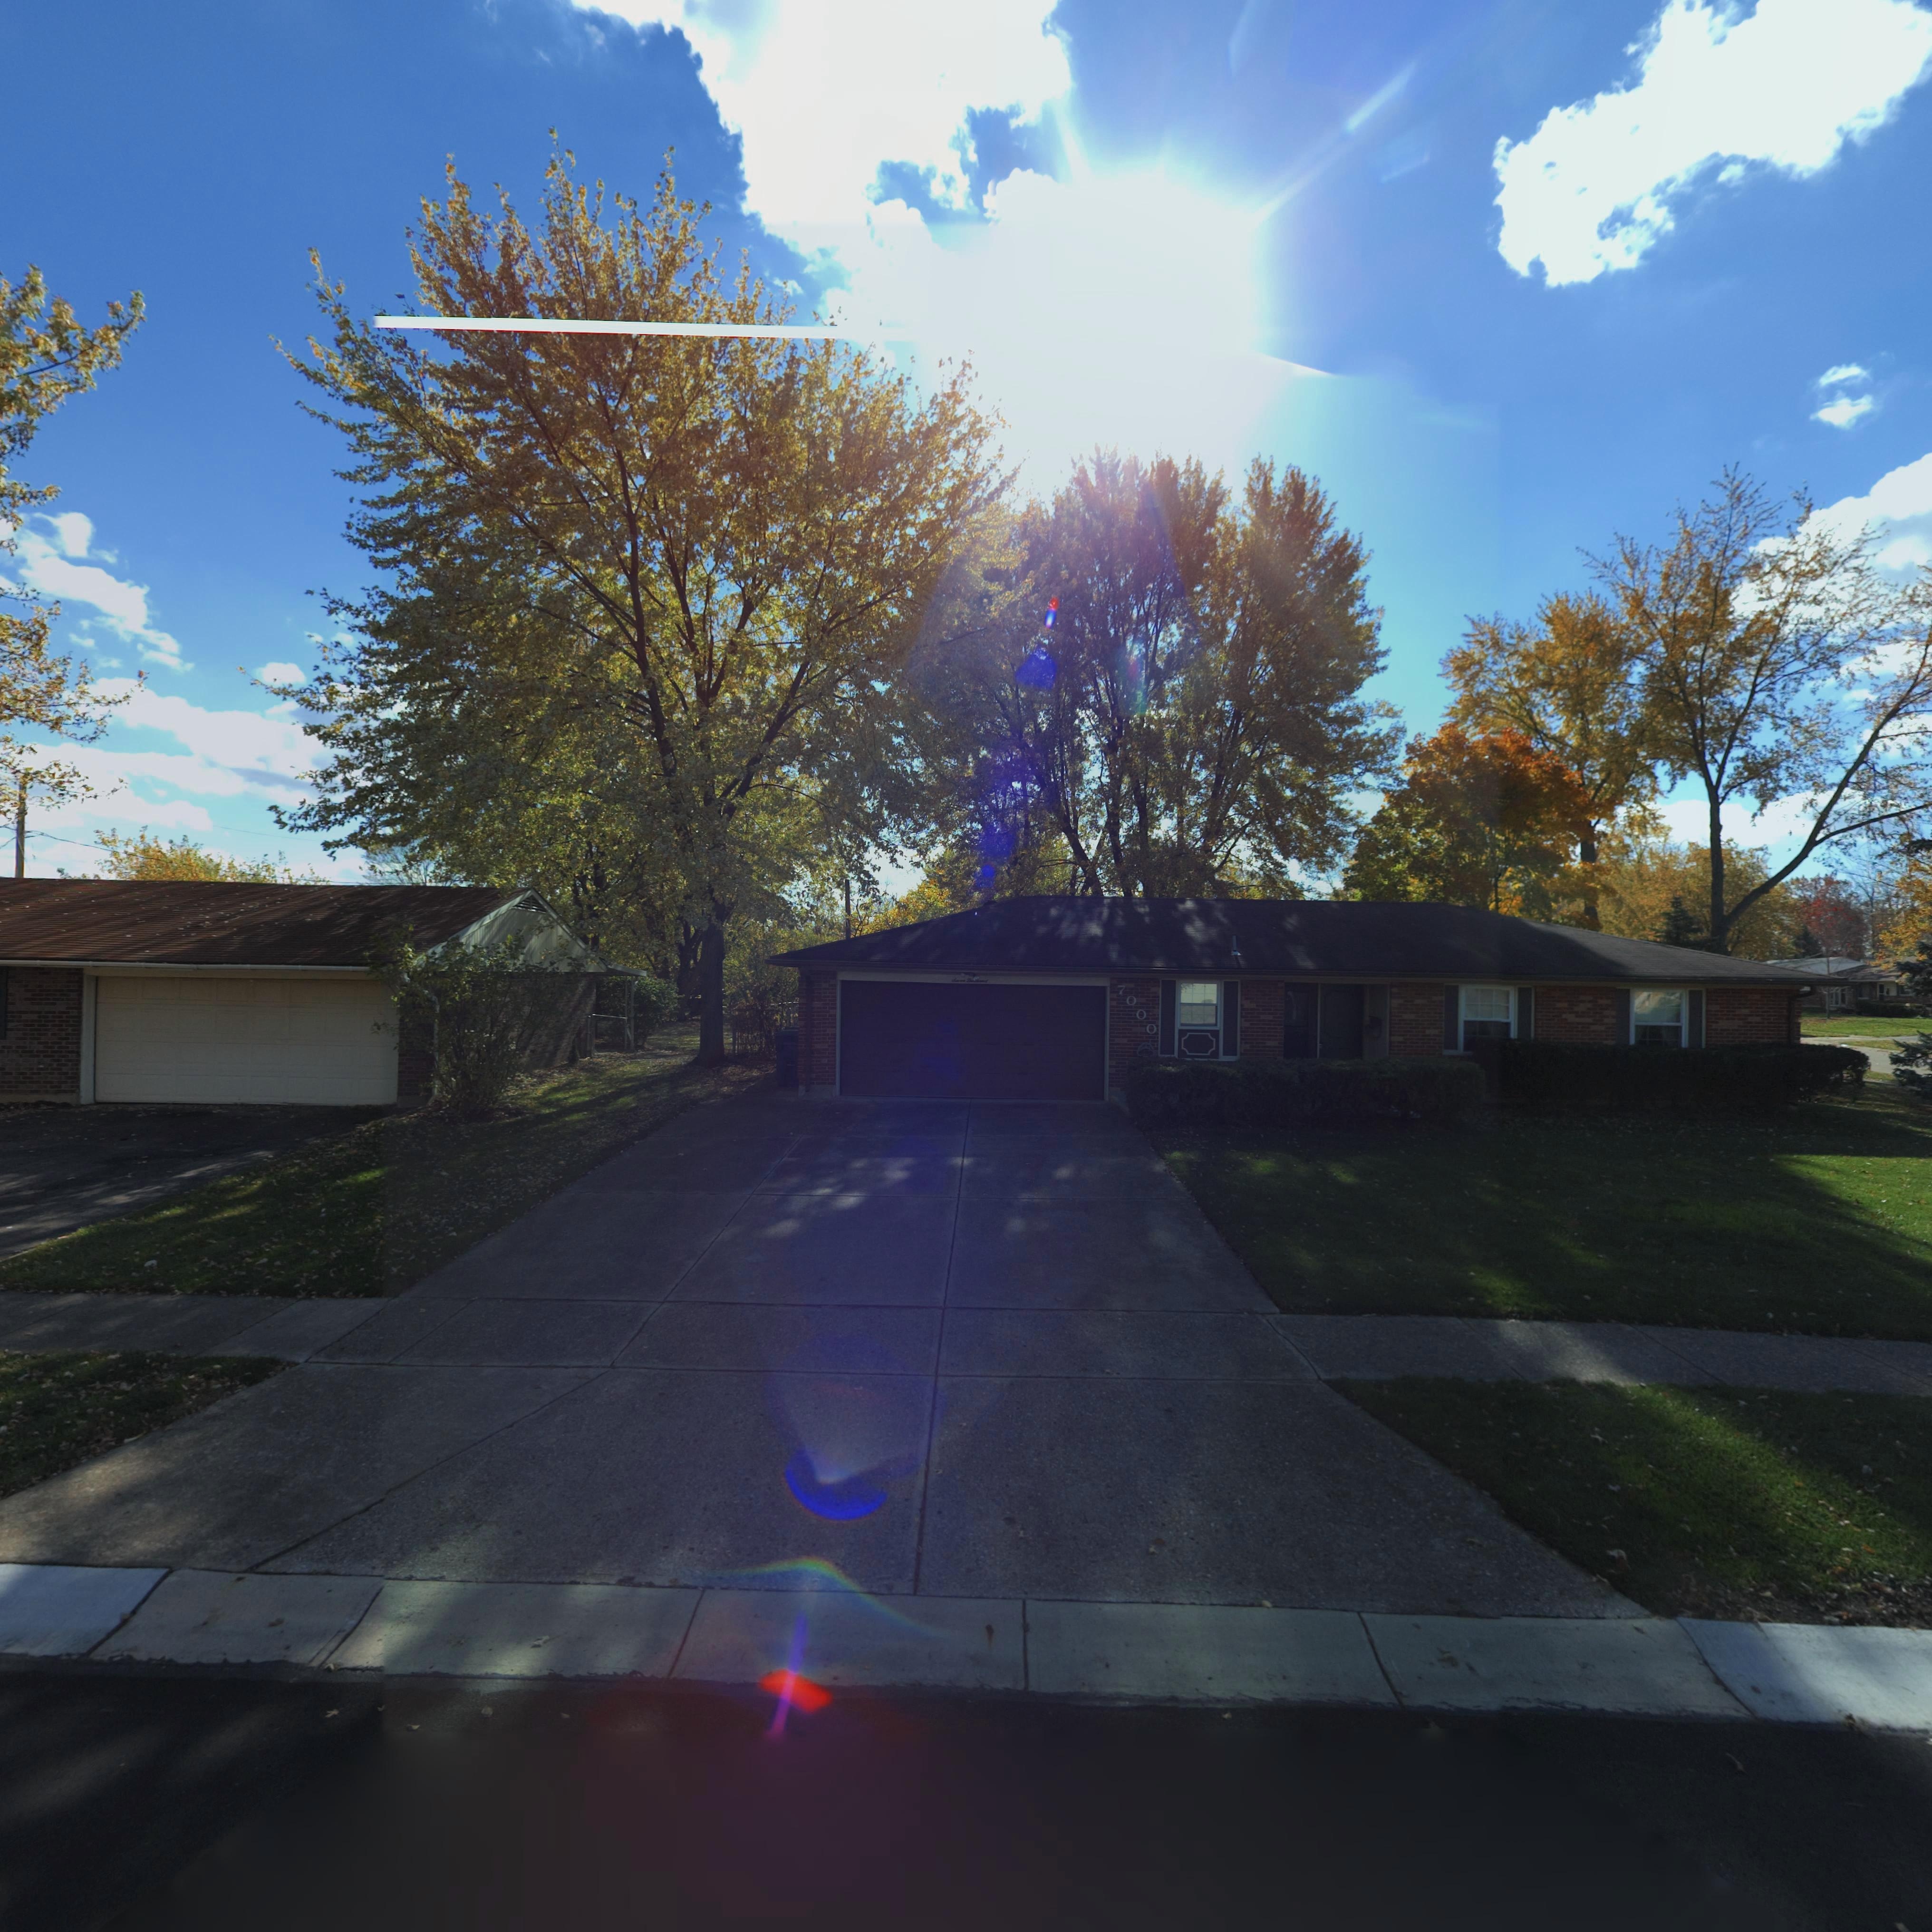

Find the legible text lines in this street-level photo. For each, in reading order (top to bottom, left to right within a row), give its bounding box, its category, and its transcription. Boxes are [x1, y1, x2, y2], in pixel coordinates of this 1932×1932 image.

[1117, 984, 1158, 1036] StreetNumber: 7000